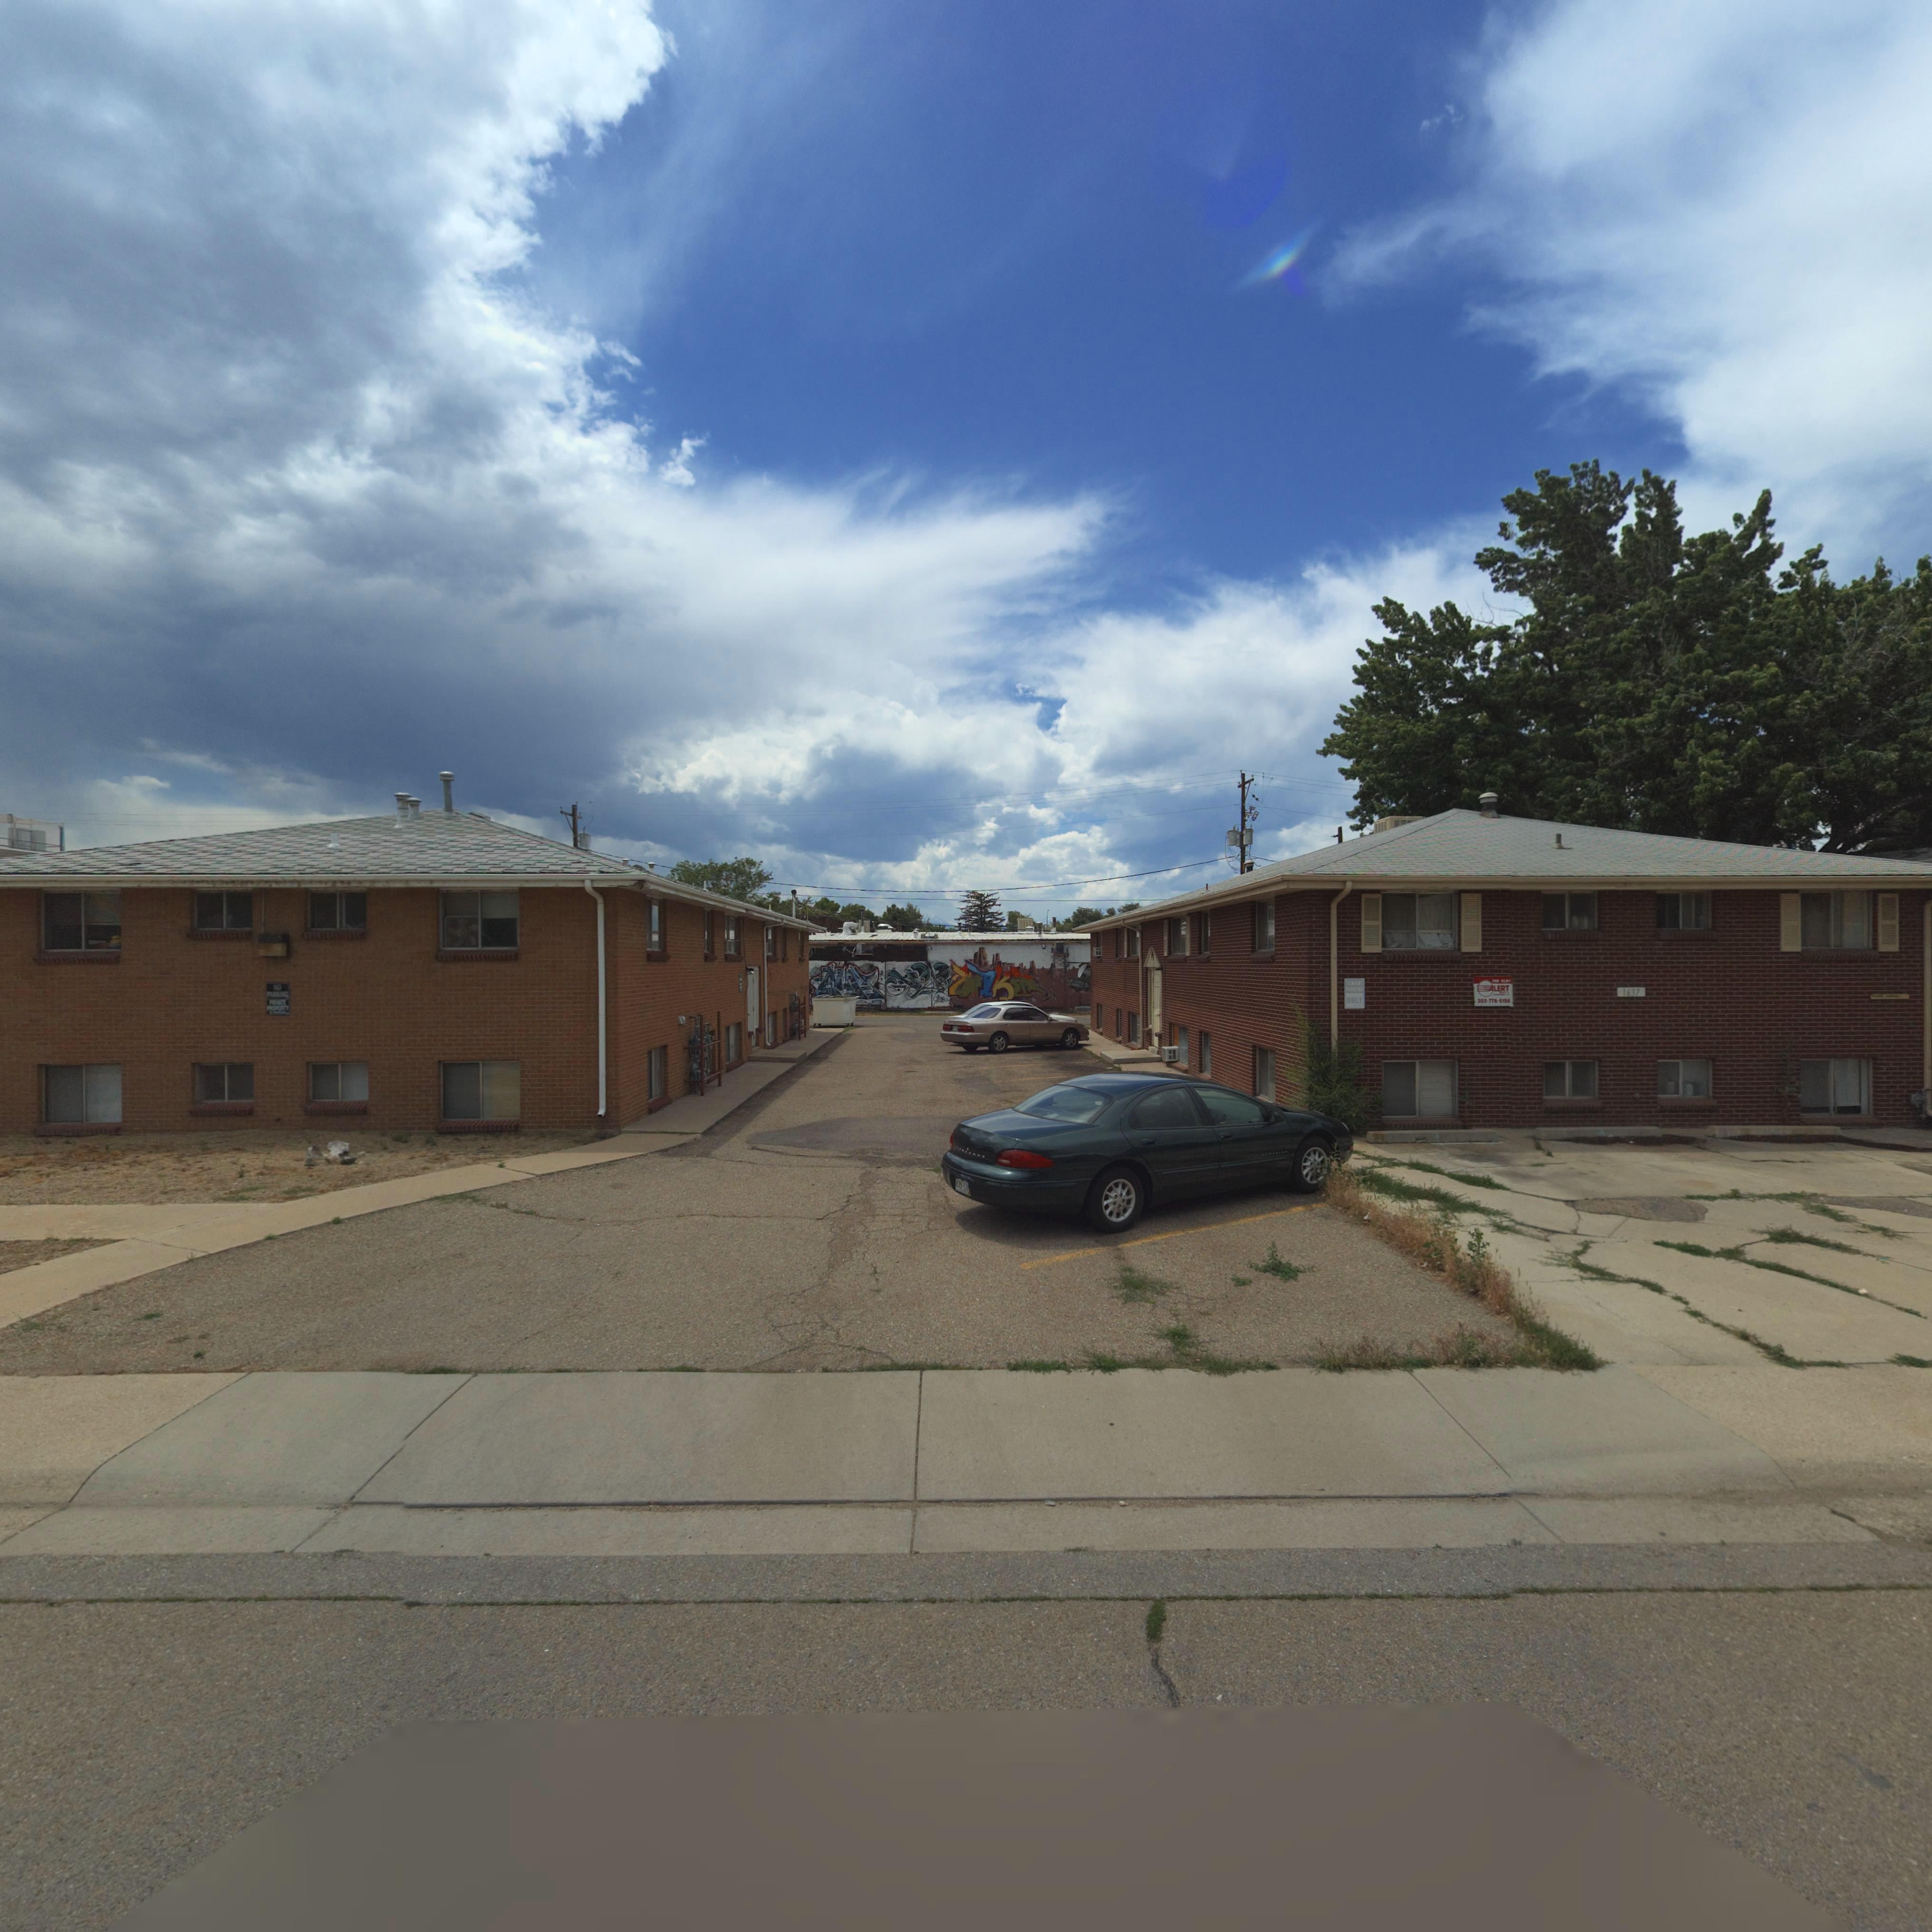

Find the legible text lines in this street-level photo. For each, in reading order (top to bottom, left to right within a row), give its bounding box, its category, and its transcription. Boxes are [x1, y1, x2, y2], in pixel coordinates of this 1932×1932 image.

[1622, 987, 1641, 996] StreetNumber: 1637